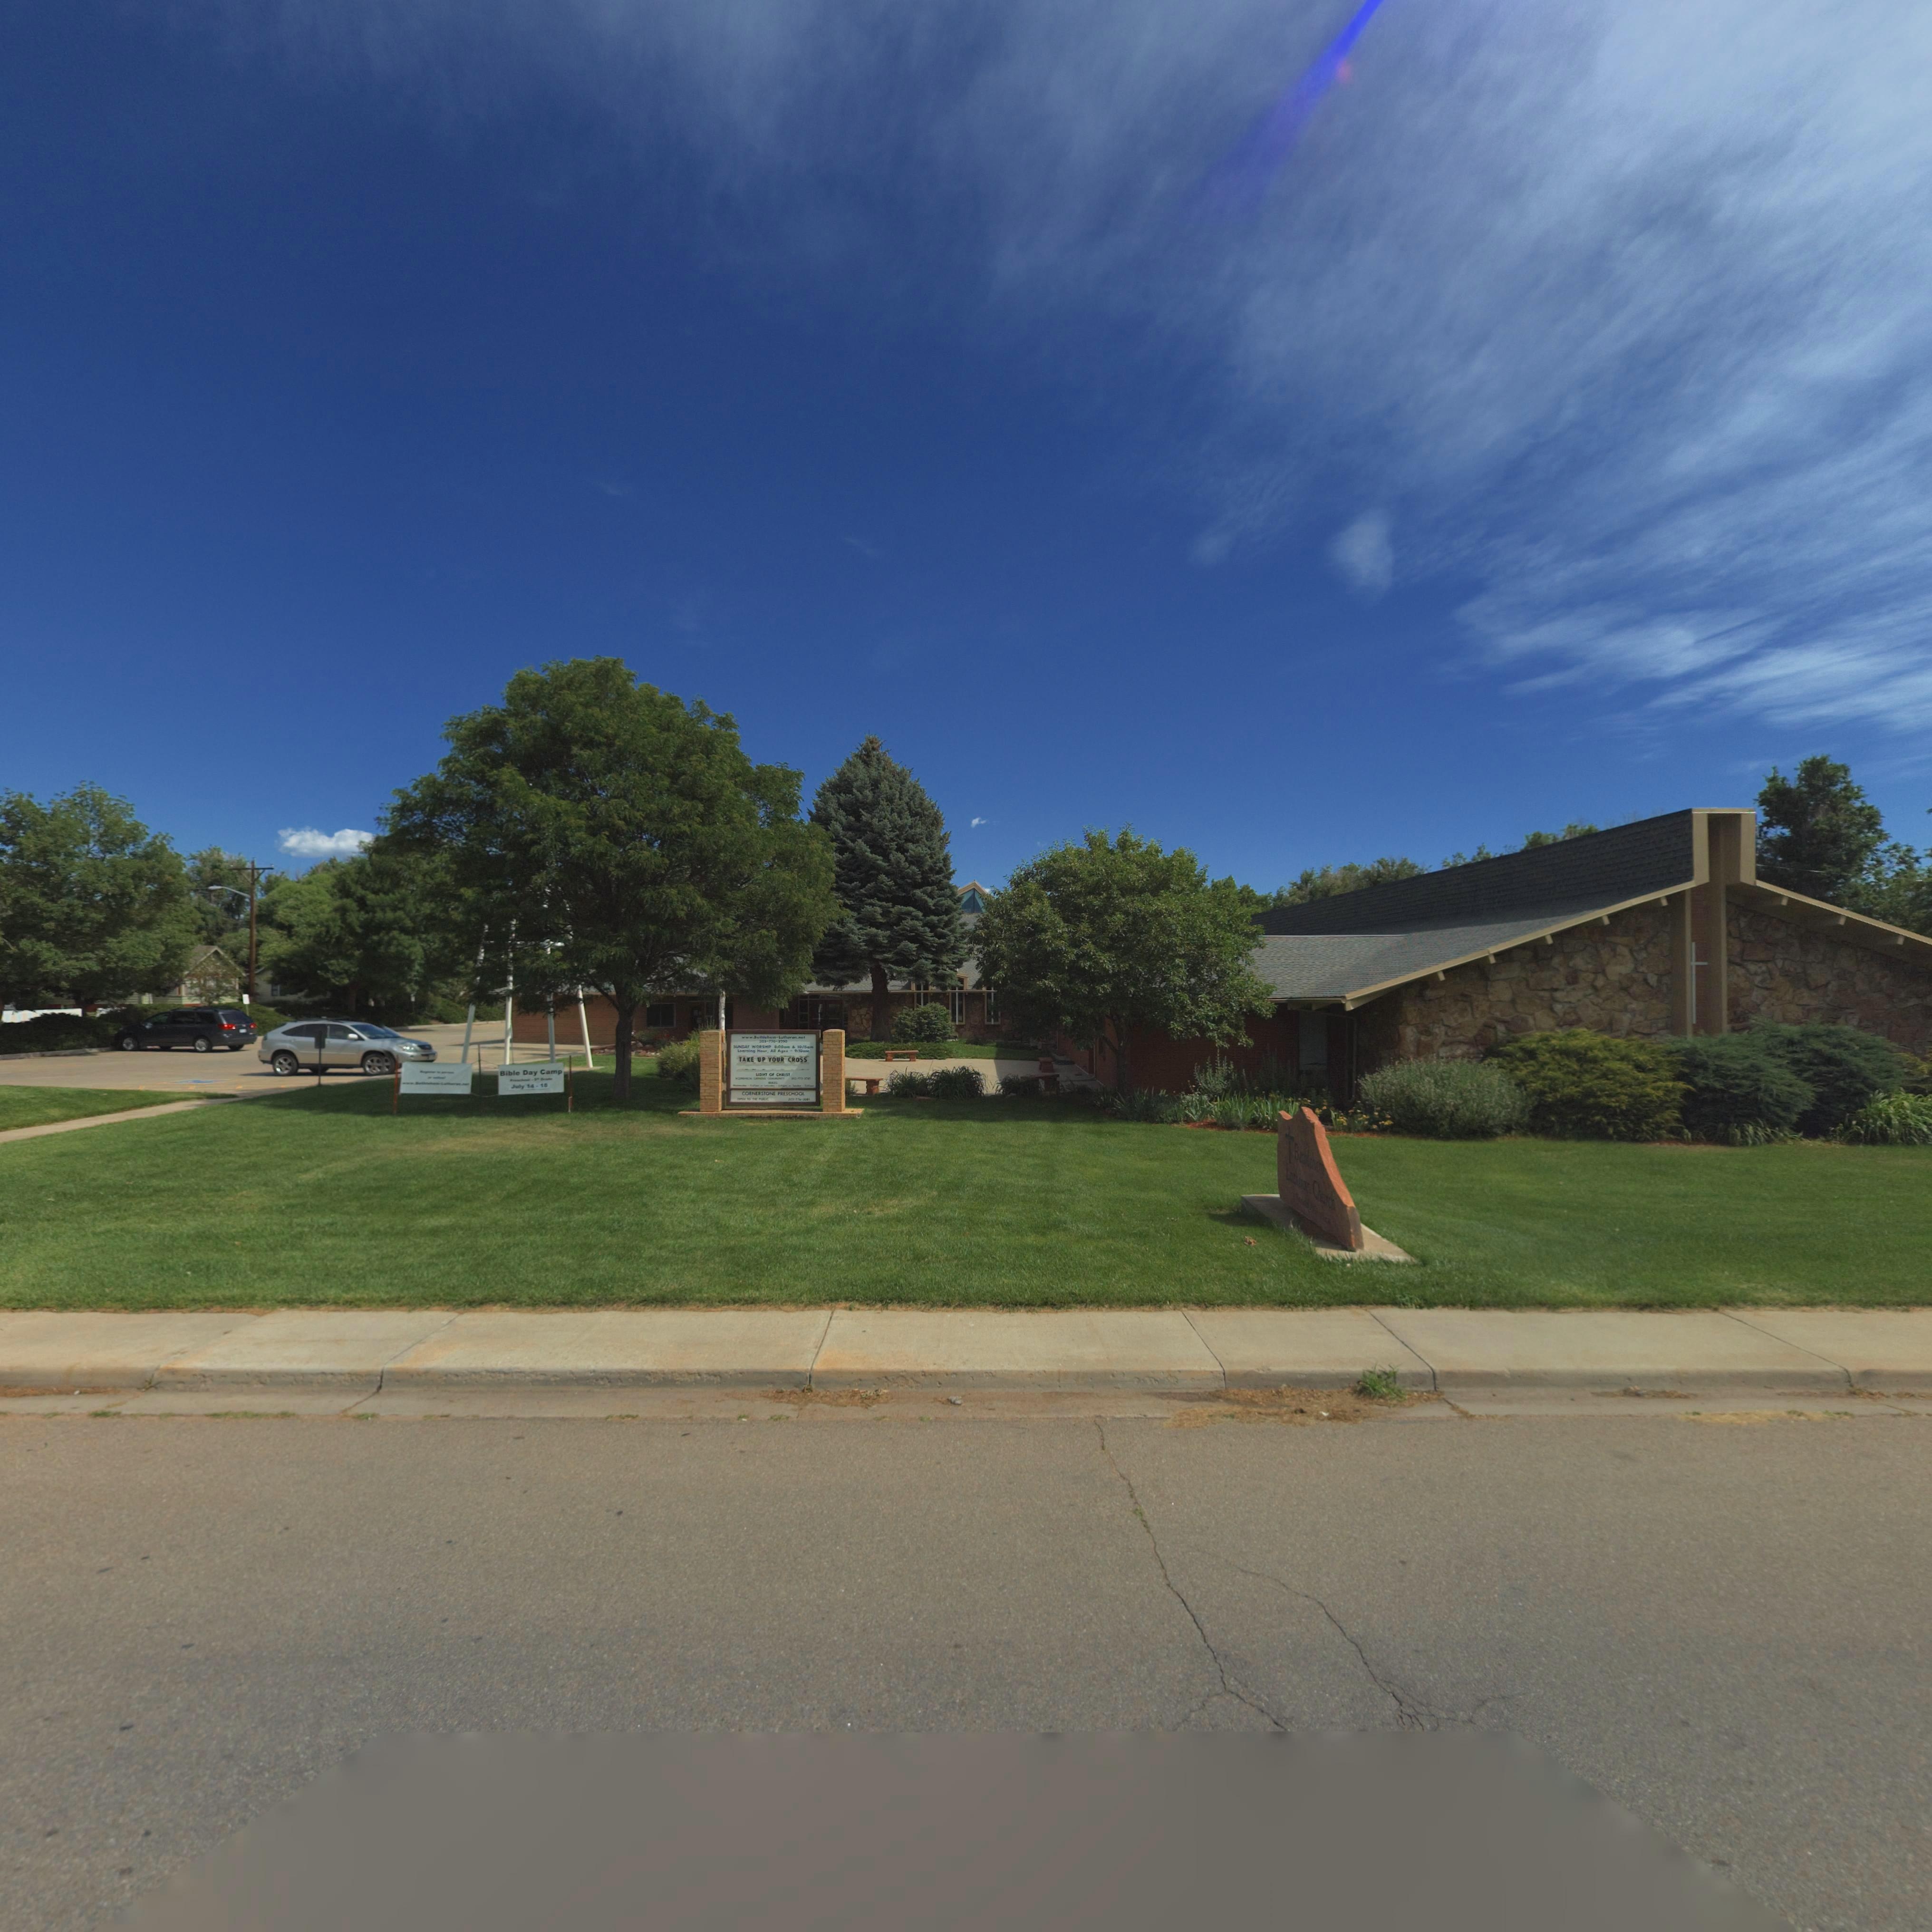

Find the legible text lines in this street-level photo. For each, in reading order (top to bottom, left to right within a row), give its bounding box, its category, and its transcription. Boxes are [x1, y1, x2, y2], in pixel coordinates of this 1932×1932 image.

[1294, 1141, 1326, 1179] BusinessName: B*******
[1285, 1160, 1336, 1212] BusinessName: L******* Ch**ch